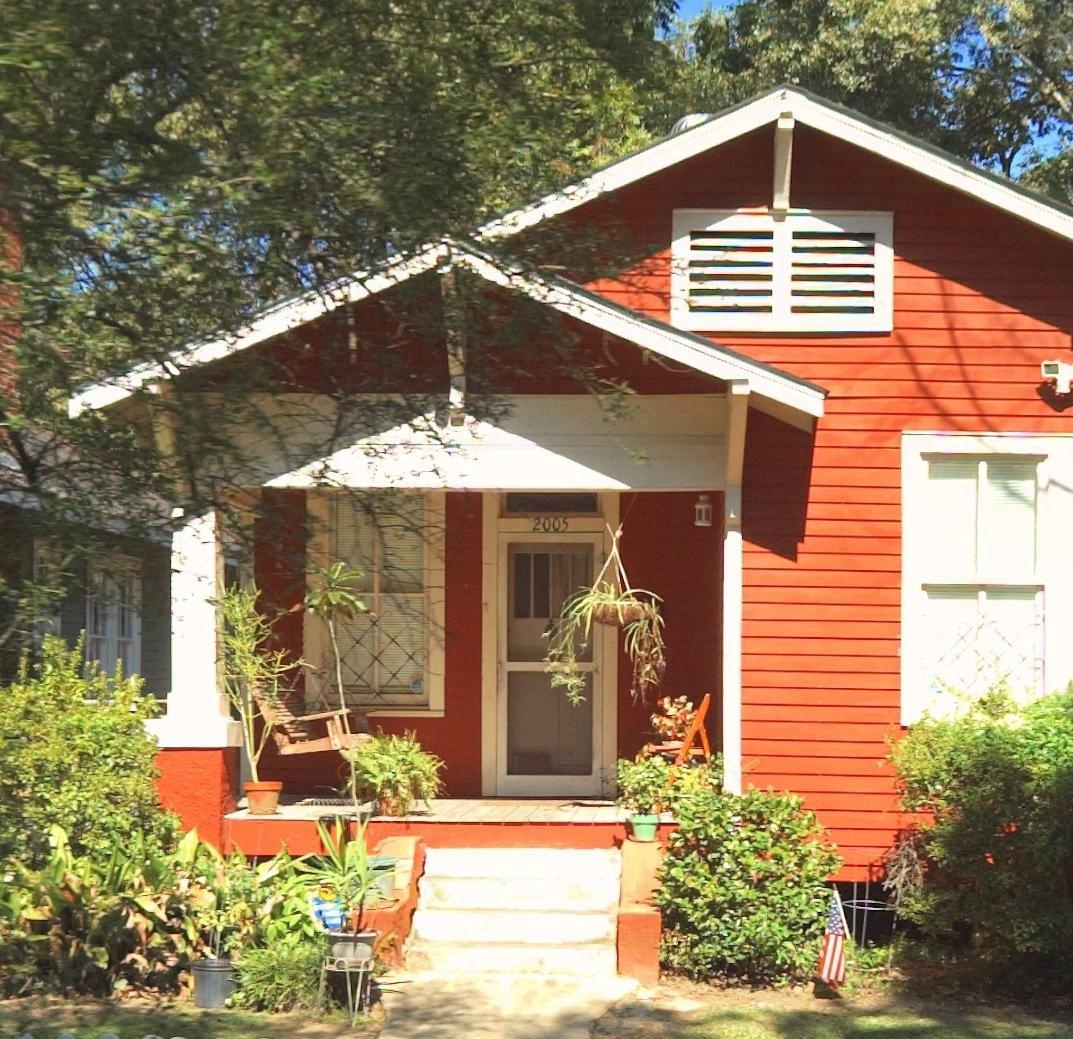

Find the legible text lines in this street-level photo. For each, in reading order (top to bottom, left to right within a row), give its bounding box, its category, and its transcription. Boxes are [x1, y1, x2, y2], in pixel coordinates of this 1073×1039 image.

[530, 514, 572, 534] StreetNumber: 2005